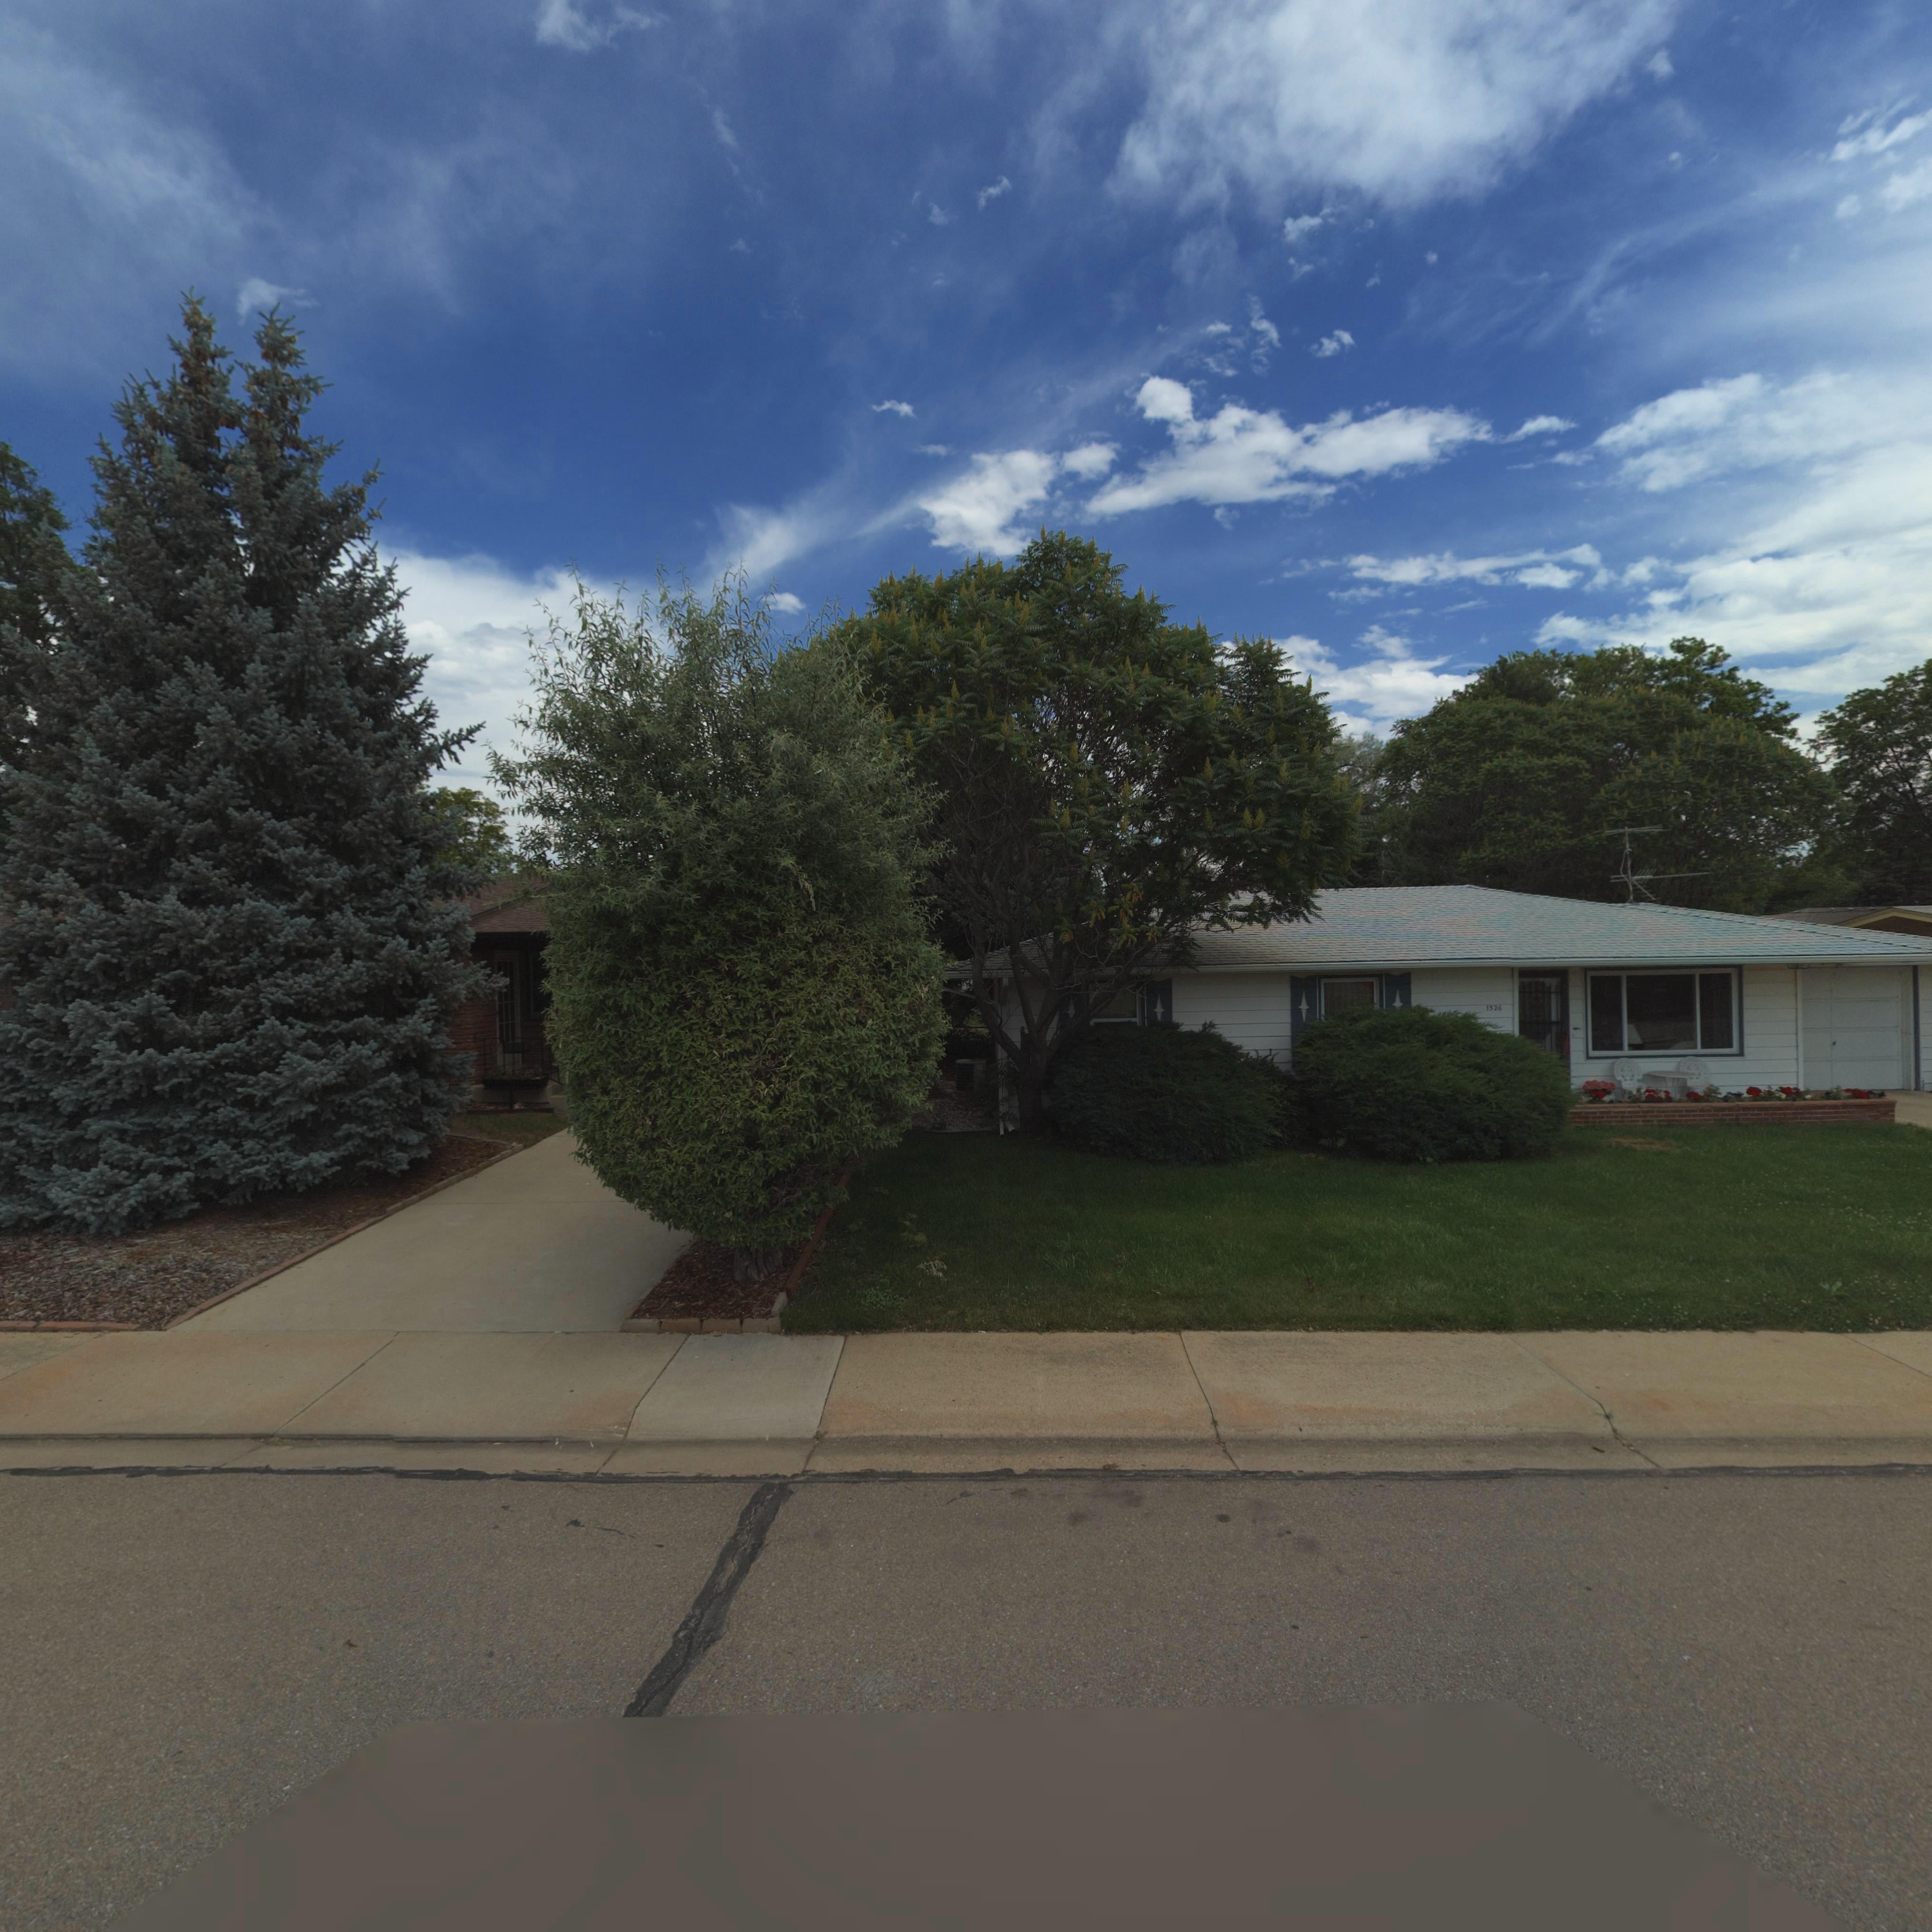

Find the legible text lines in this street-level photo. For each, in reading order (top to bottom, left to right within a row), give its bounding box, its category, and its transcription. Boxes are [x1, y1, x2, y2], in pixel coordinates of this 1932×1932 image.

[1486, 1005, 1502, 1011] StreetNumber: 1326